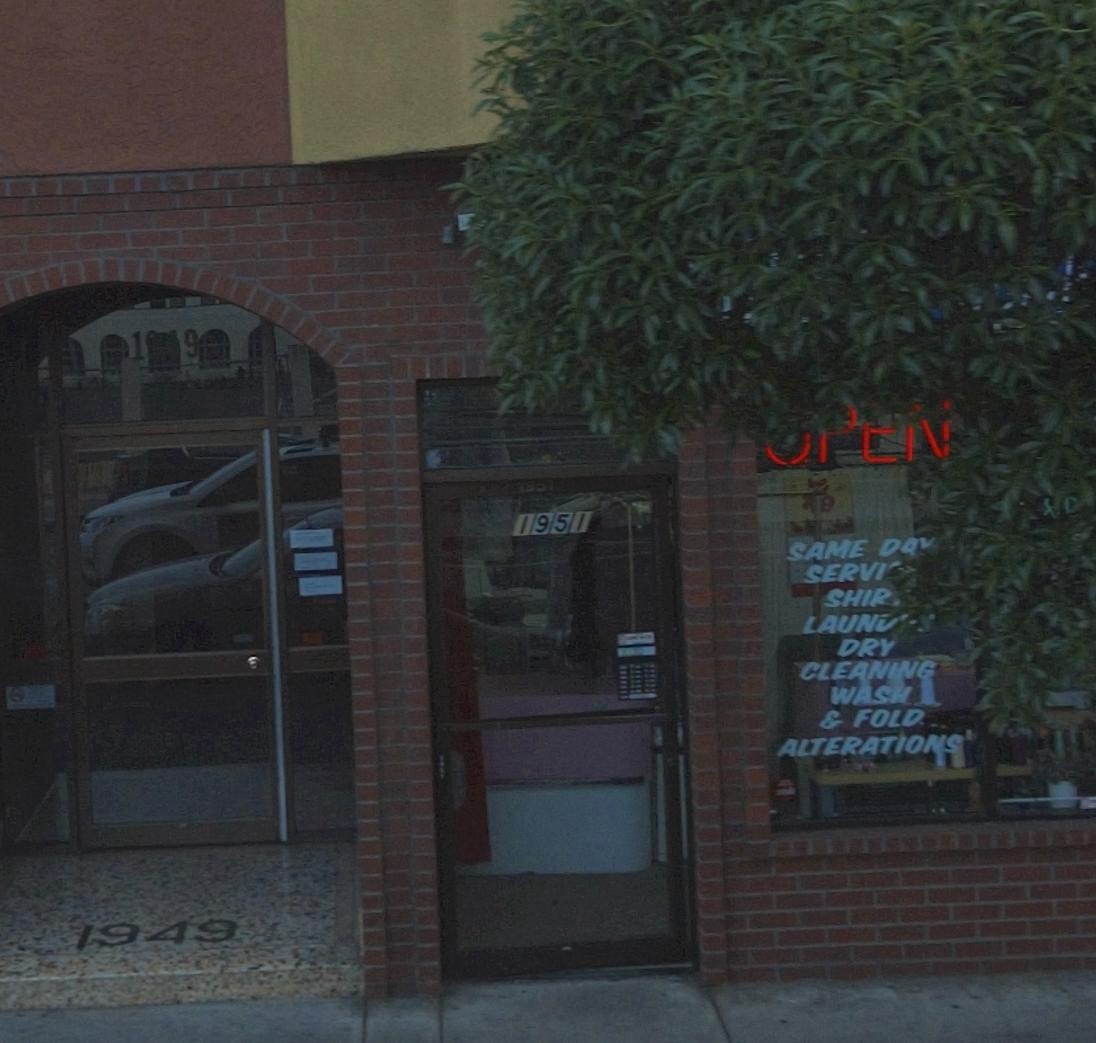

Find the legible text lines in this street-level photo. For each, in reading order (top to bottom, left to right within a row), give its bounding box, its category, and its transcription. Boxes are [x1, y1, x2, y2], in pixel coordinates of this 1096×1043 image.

[515, 511, 589, 536] StreetNumber: 1951
[783, 533, 920, 565] None: SAME DA
[800, 560, 891, 587] None: SERVI
[819, 586, 877, 610] None: SHI
[796, 611, 883, 637] None: LAUN
[832, 635, 901, 659] None: DRY
[796, 657, 940, 684] None: CLEANING
[827, 684, 917, 708] None: WASH
[849, 706, 928, 731] None: FOLD
[771, 730, 968, 760] None: ALTERATIONS
[71, 914, 241, 955] StreetNumber: 1949